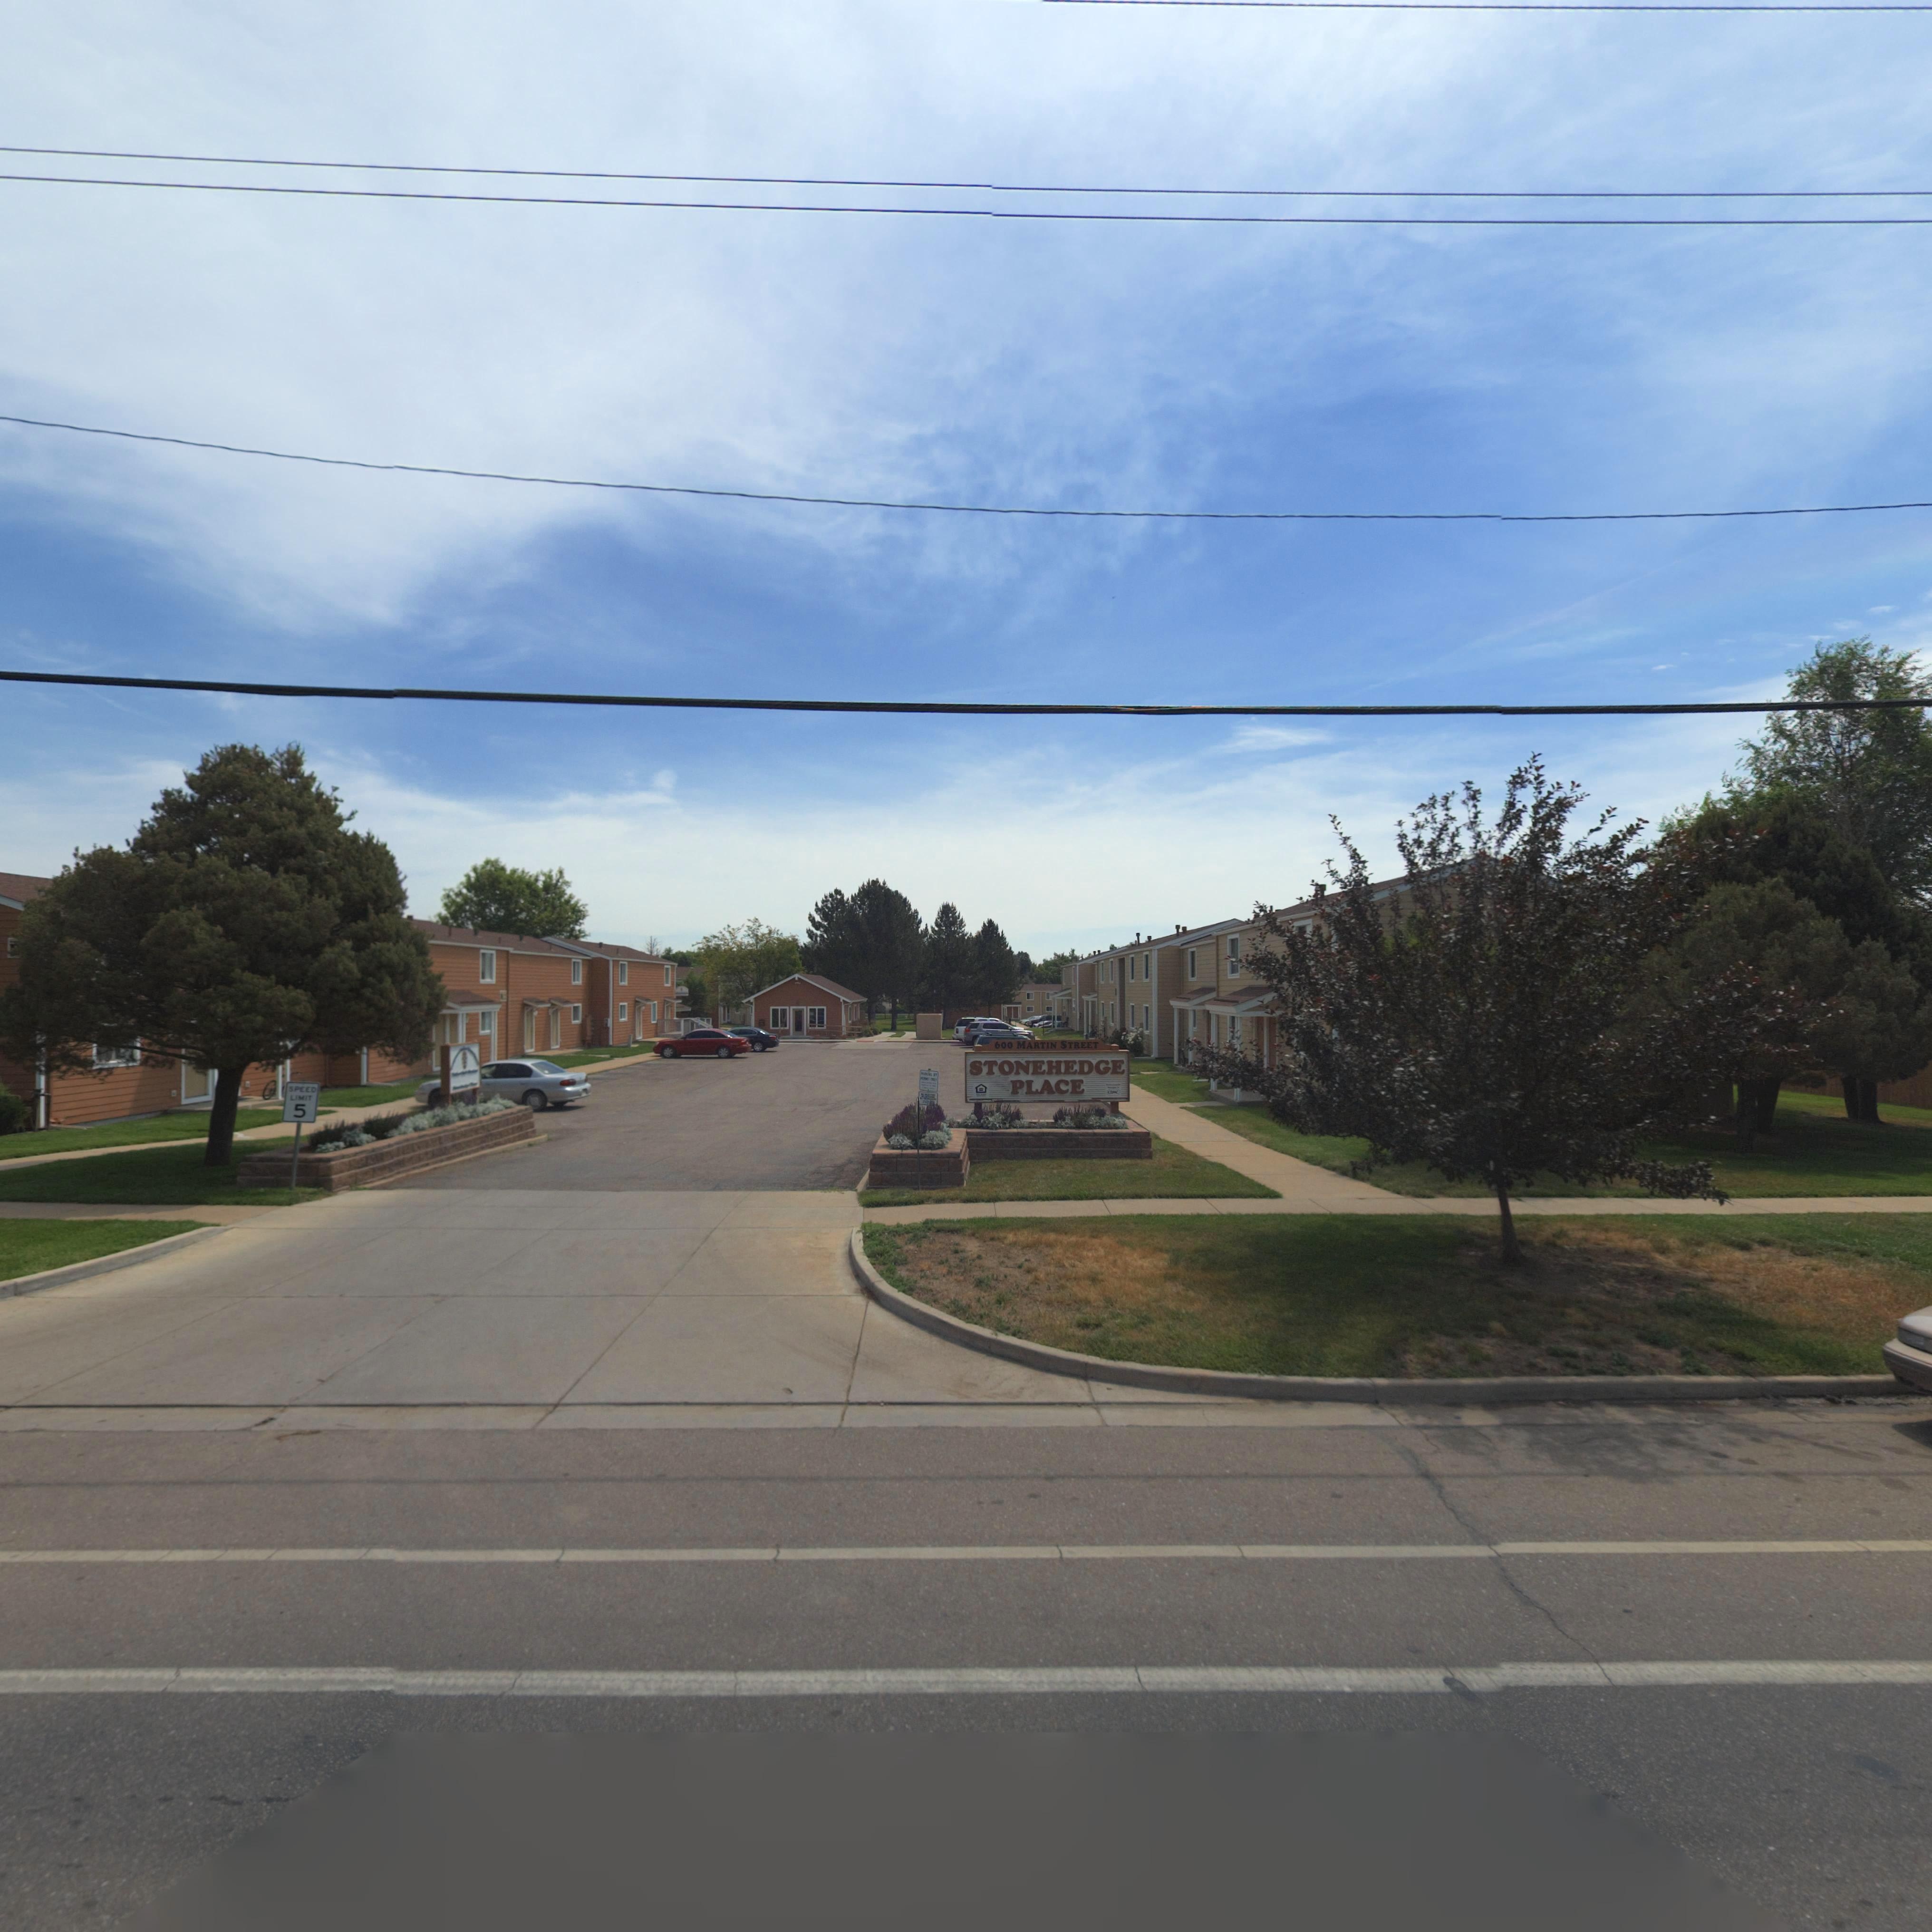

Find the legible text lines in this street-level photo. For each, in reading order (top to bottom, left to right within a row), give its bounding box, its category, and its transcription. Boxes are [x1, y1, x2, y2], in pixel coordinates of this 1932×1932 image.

[994, 1041, 1013, 1049] StreetNumber: 600
[1016, 1040, 1098, 1049] StreetName: MARTIN STREET